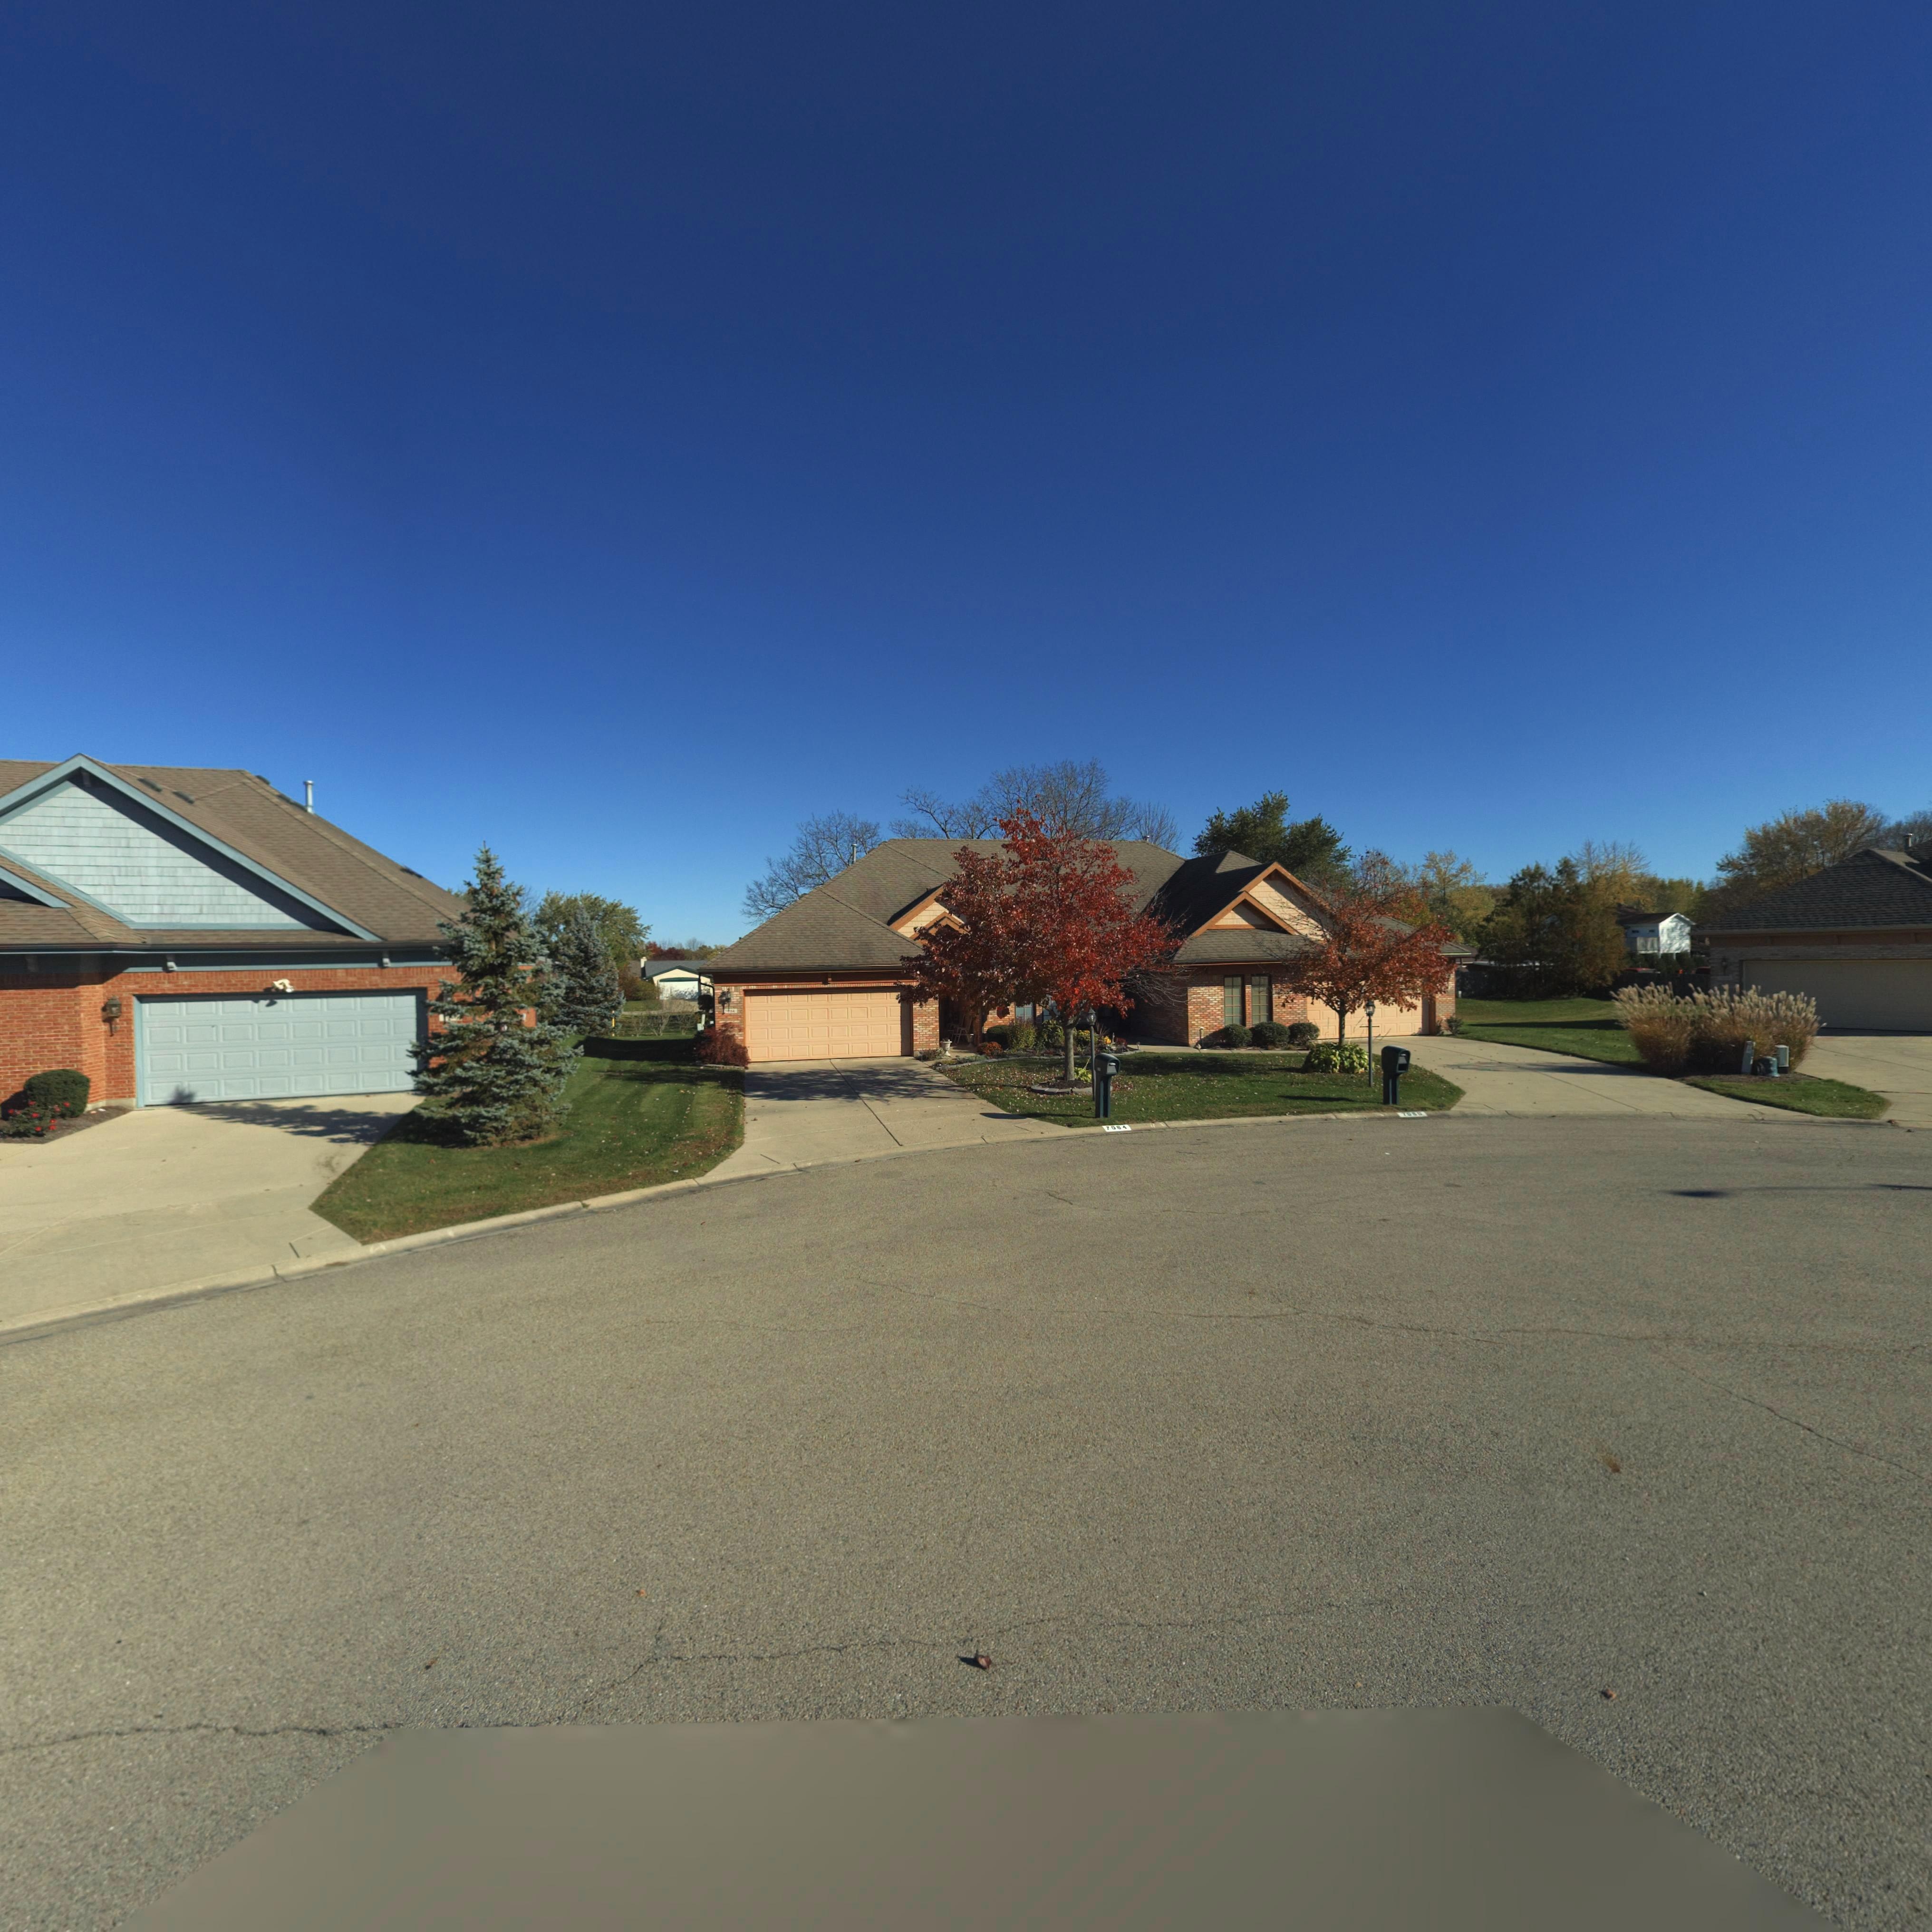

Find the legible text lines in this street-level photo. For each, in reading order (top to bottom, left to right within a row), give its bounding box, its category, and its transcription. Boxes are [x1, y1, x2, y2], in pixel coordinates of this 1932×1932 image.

[724, 1009, 735, 1013] StreetNumber: 7084
[1400, 1111, 1424, 1117] StreetNumber: 7080
[1105, 1125, 1128, 1130] StreetNumber: 7084